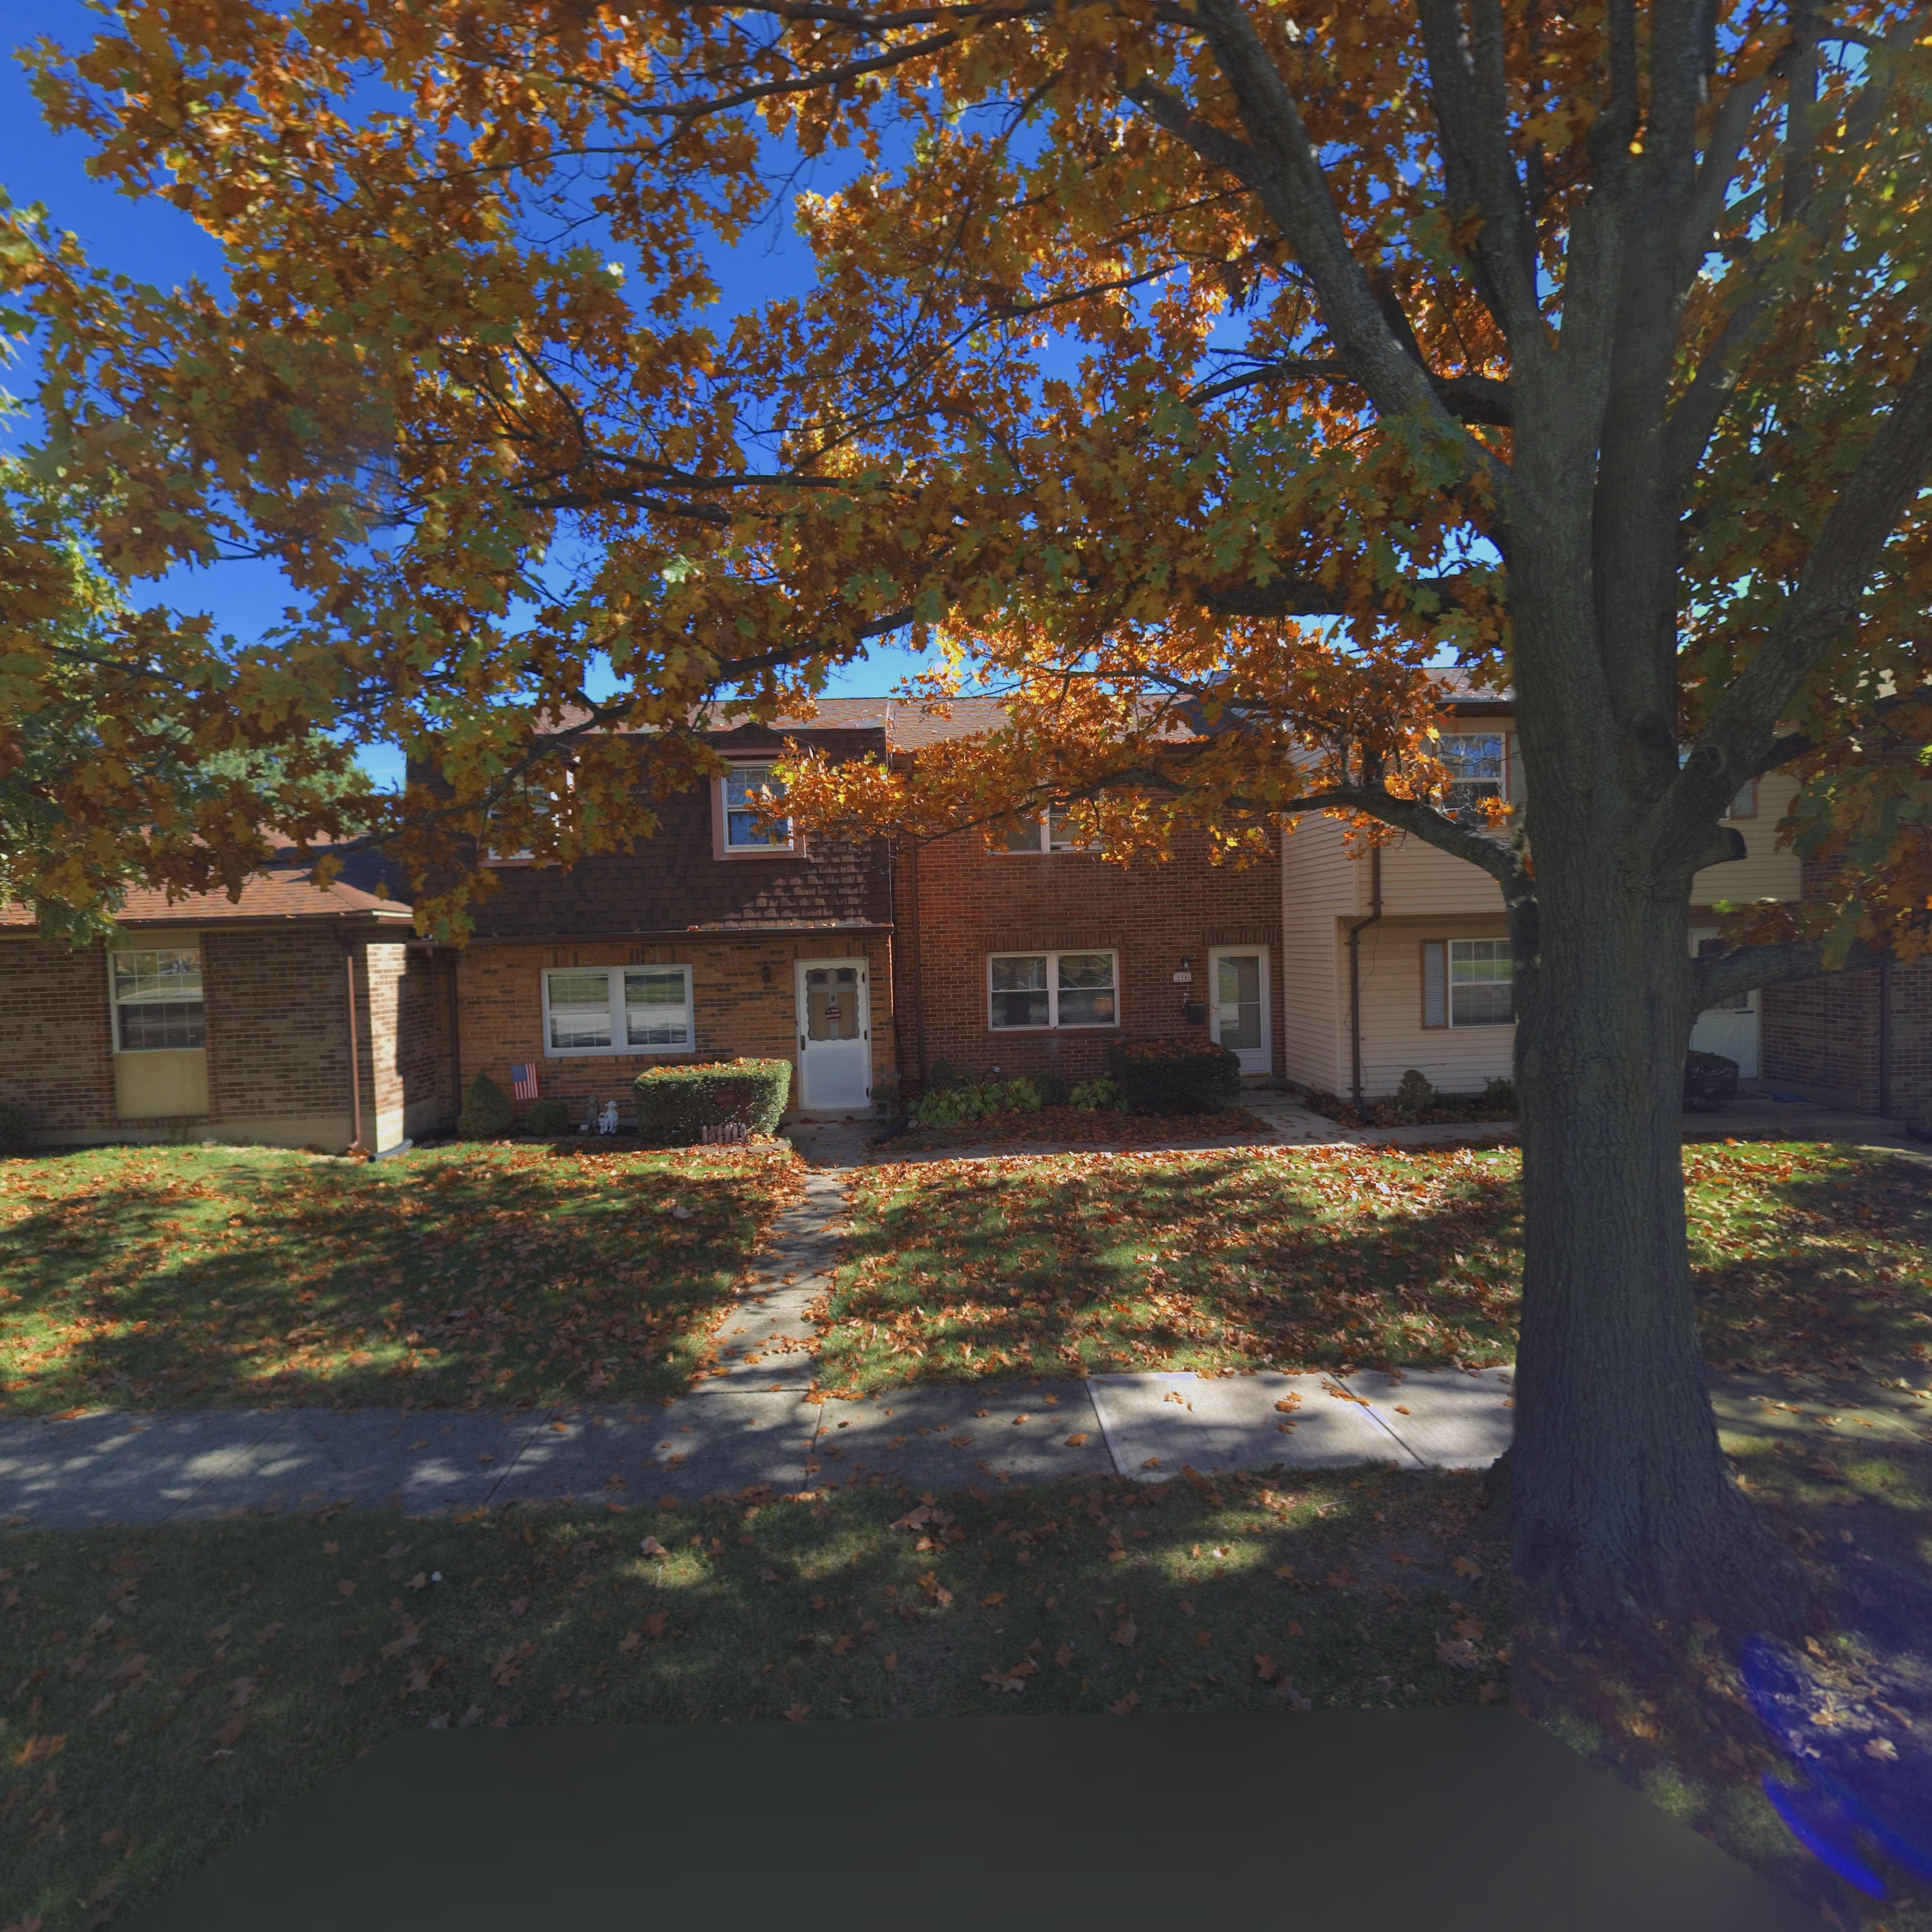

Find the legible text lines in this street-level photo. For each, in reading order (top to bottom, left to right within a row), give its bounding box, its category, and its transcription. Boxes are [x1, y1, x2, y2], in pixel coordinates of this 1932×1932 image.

[1177, 974, 1188, 981] StreetNumber: 104
[762, 1003, 780, 1013] StreetNumber: 102